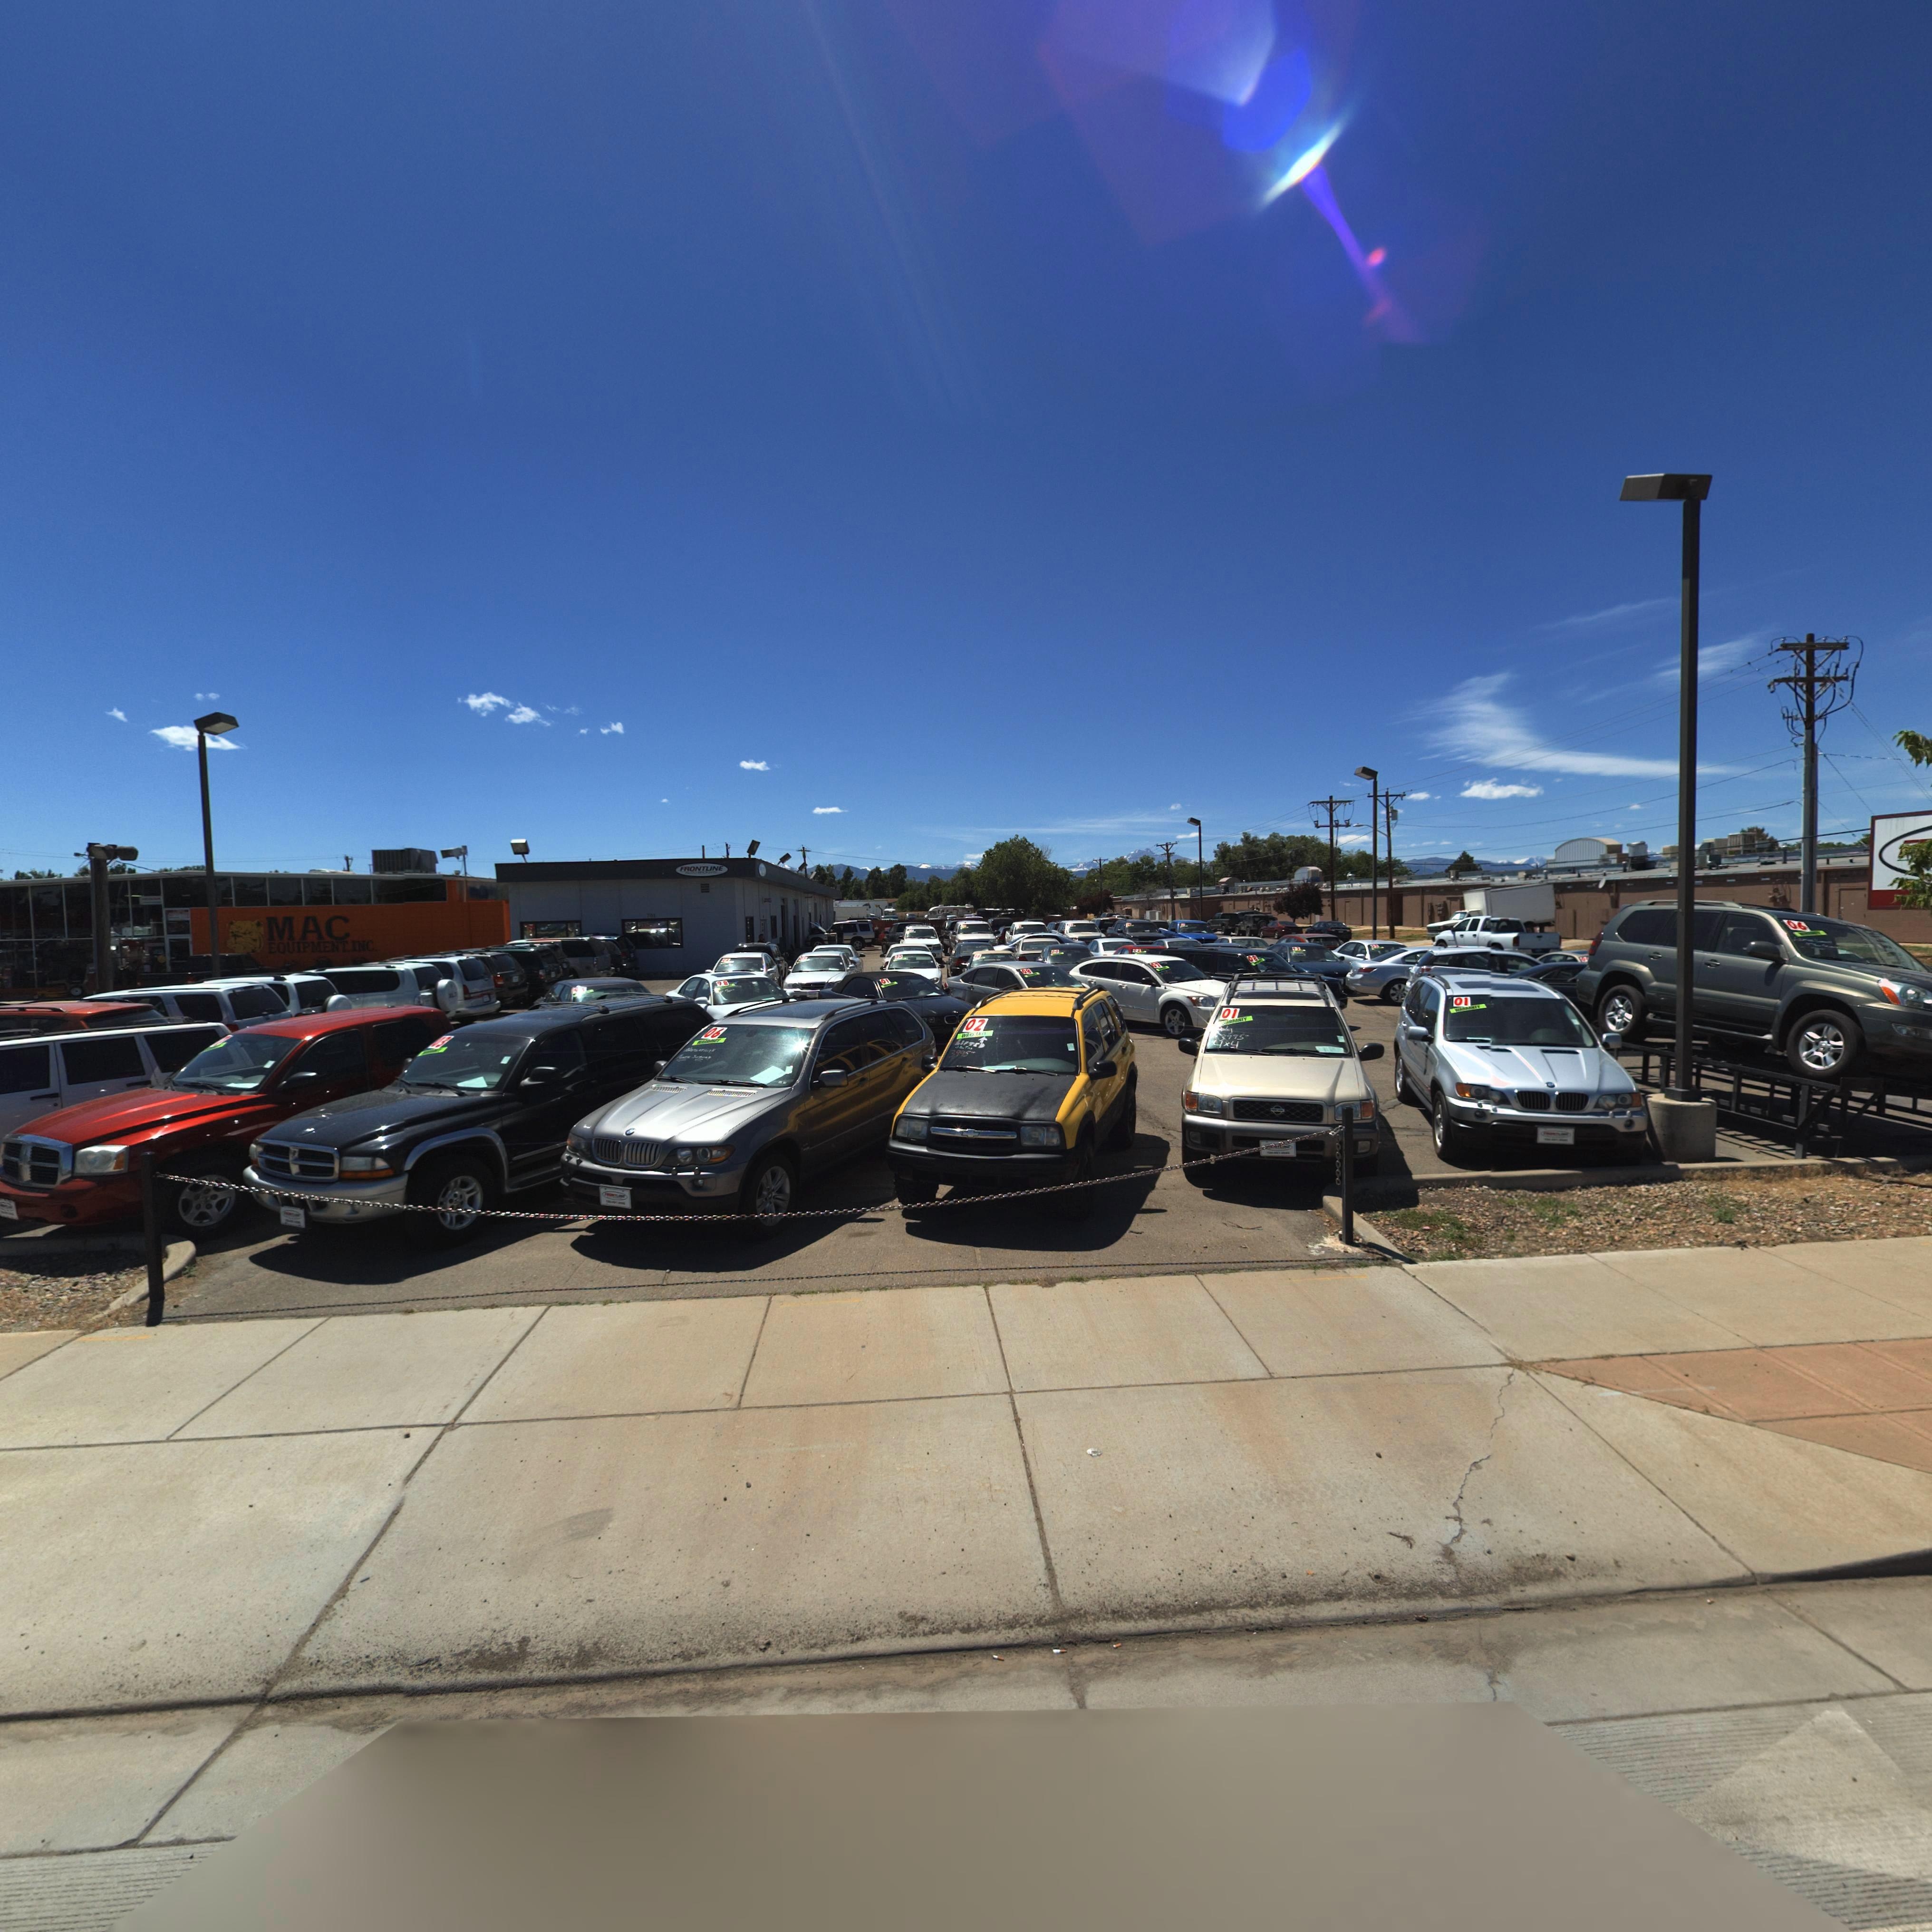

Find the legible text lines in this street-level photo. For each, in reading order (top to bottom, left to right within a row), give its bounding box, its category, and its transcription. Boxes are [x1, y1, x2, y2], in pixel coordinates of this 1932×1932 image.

[679, 865, 724, 871] BusinessName: FRONTLINE
[647, 913, 655, 918] StreetNumber: 701
[263, 913, 351, 942] BusinessName: MAC
[267, 939, 375, 955] BusinessName: EQUIPTMENT* INC*